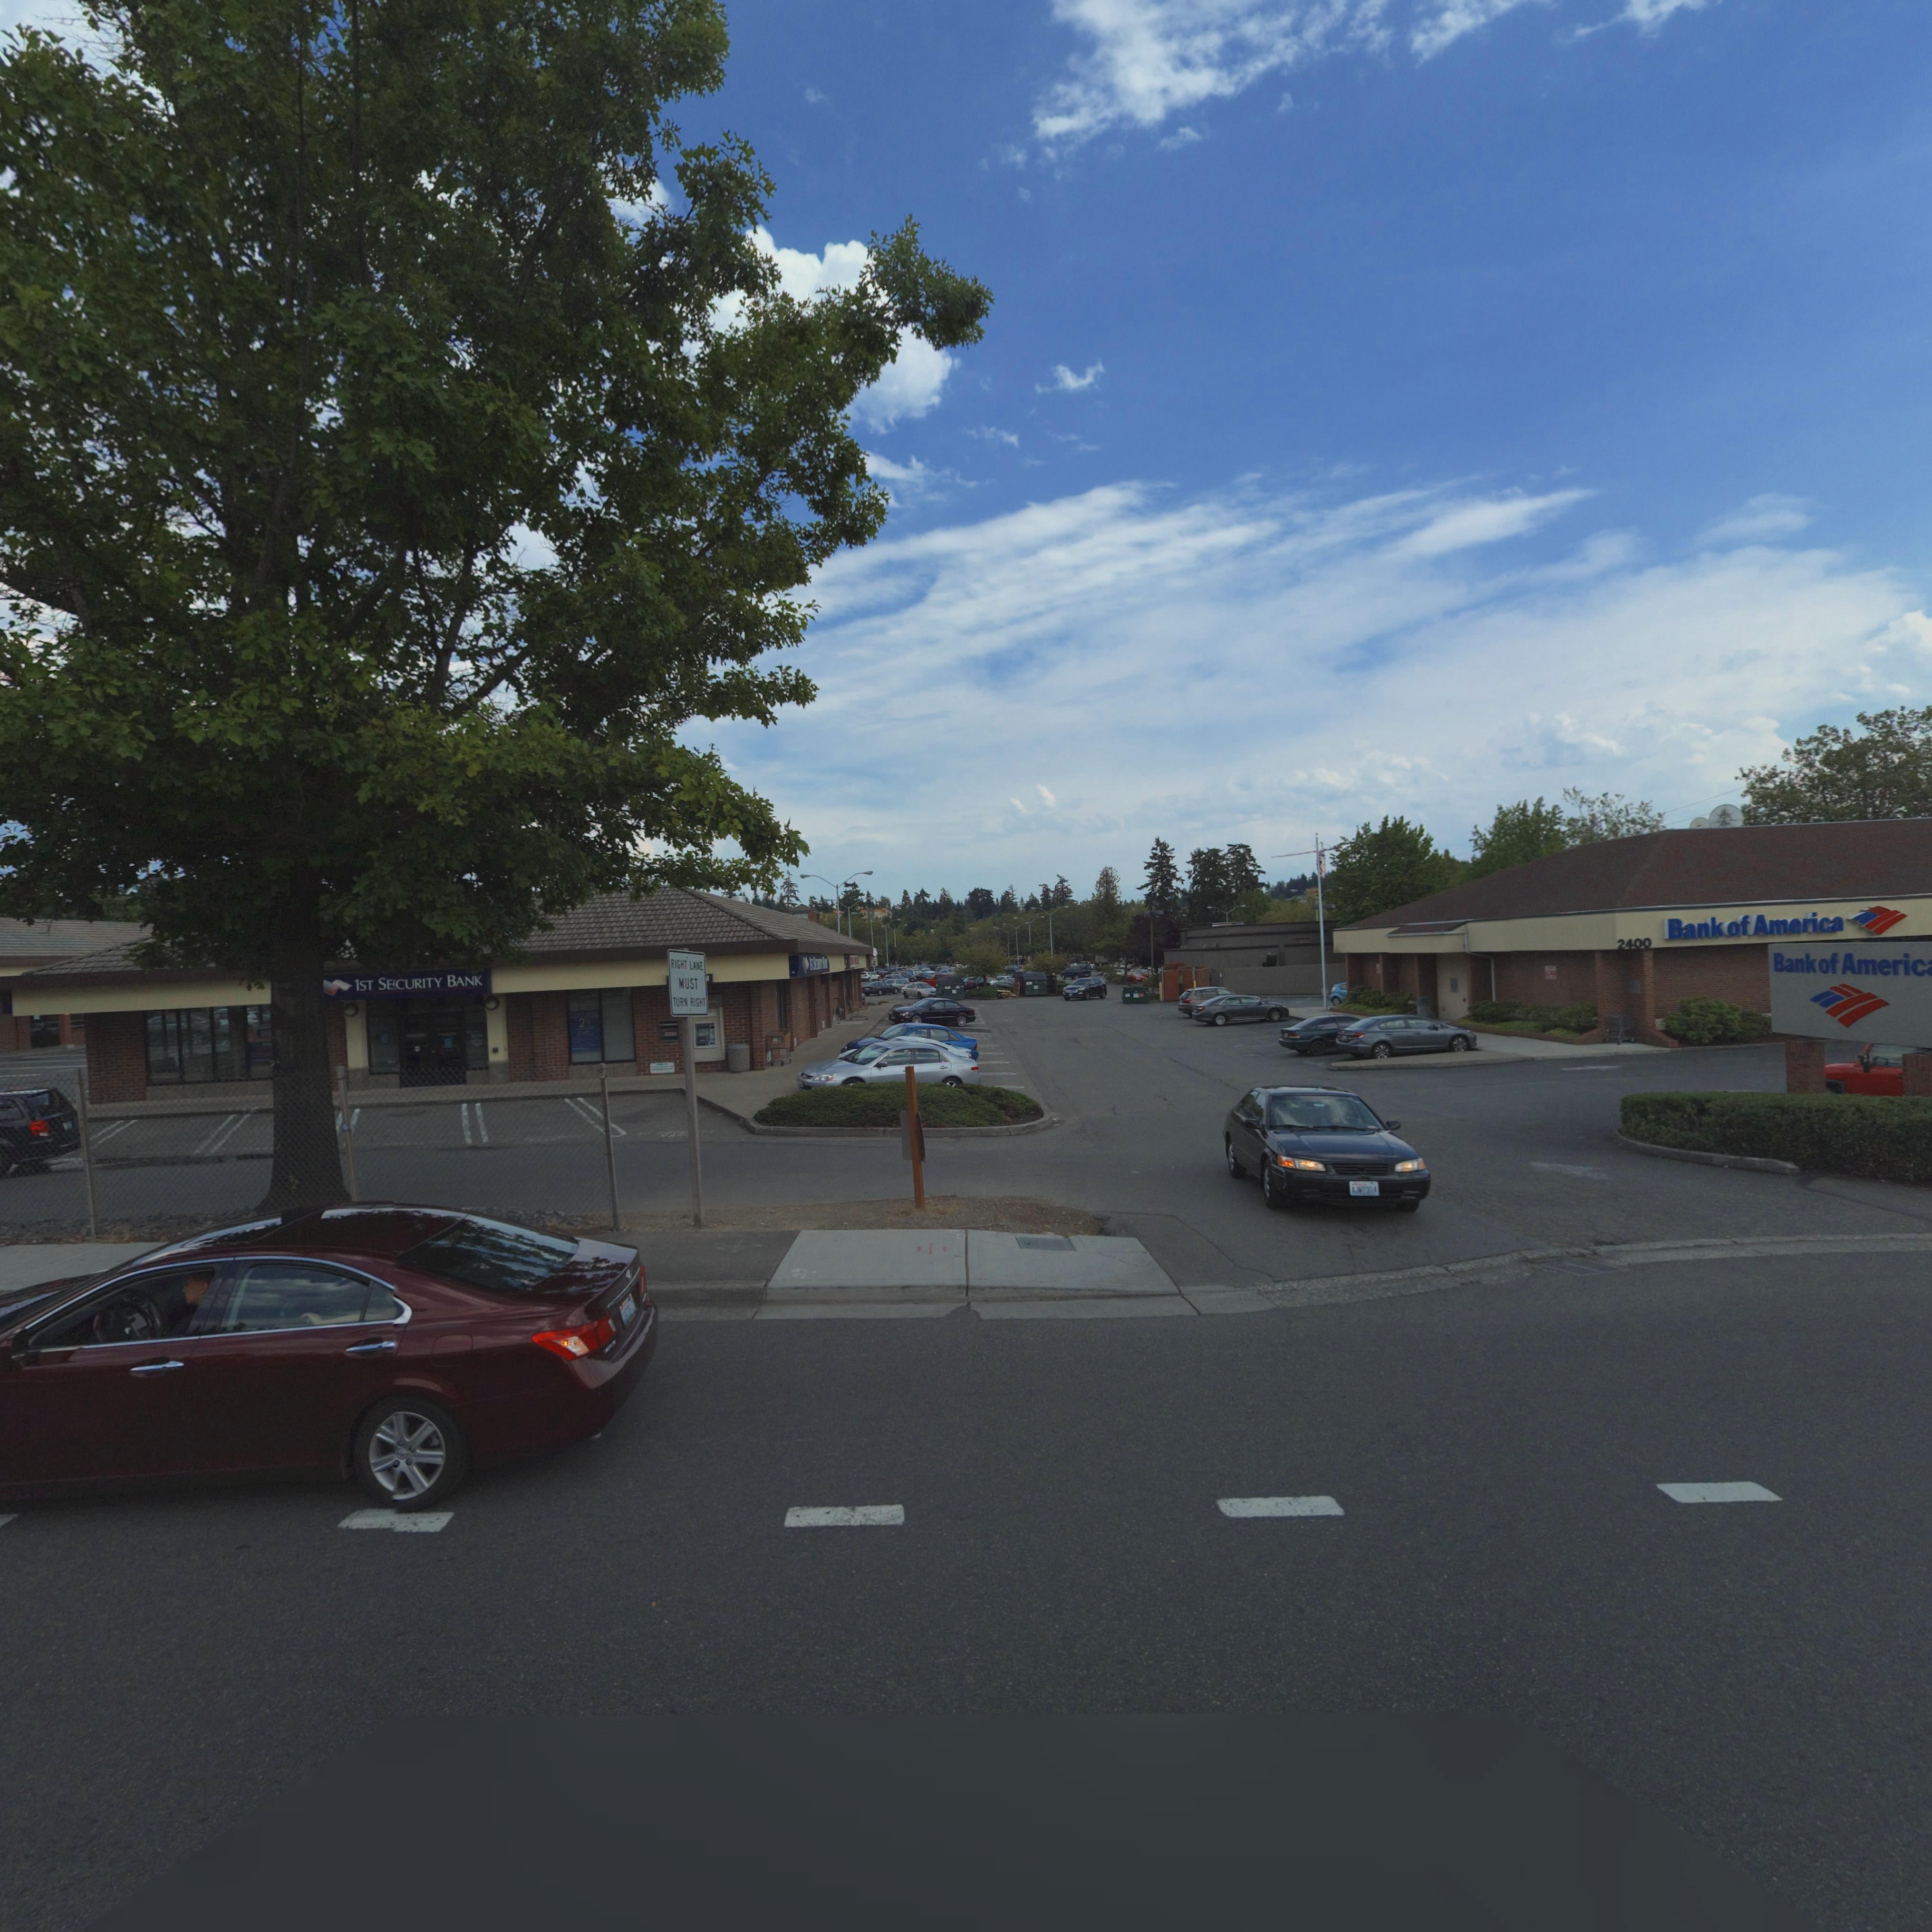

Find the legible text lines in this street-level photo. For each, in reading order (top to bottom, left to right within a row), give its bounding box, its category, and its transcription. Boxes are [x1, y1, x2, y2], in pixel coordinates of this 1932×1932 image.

[1666, 911, 1844, 940] BusinessName: Bank of Amenca
[1616, 937, 1652, 950] StreetNumber: 2400
[1772, 951, 1927, 977] BusinessName: Bank of Americ
[352, 973, 483, 992] None: 1ST SE*CURITY BANK